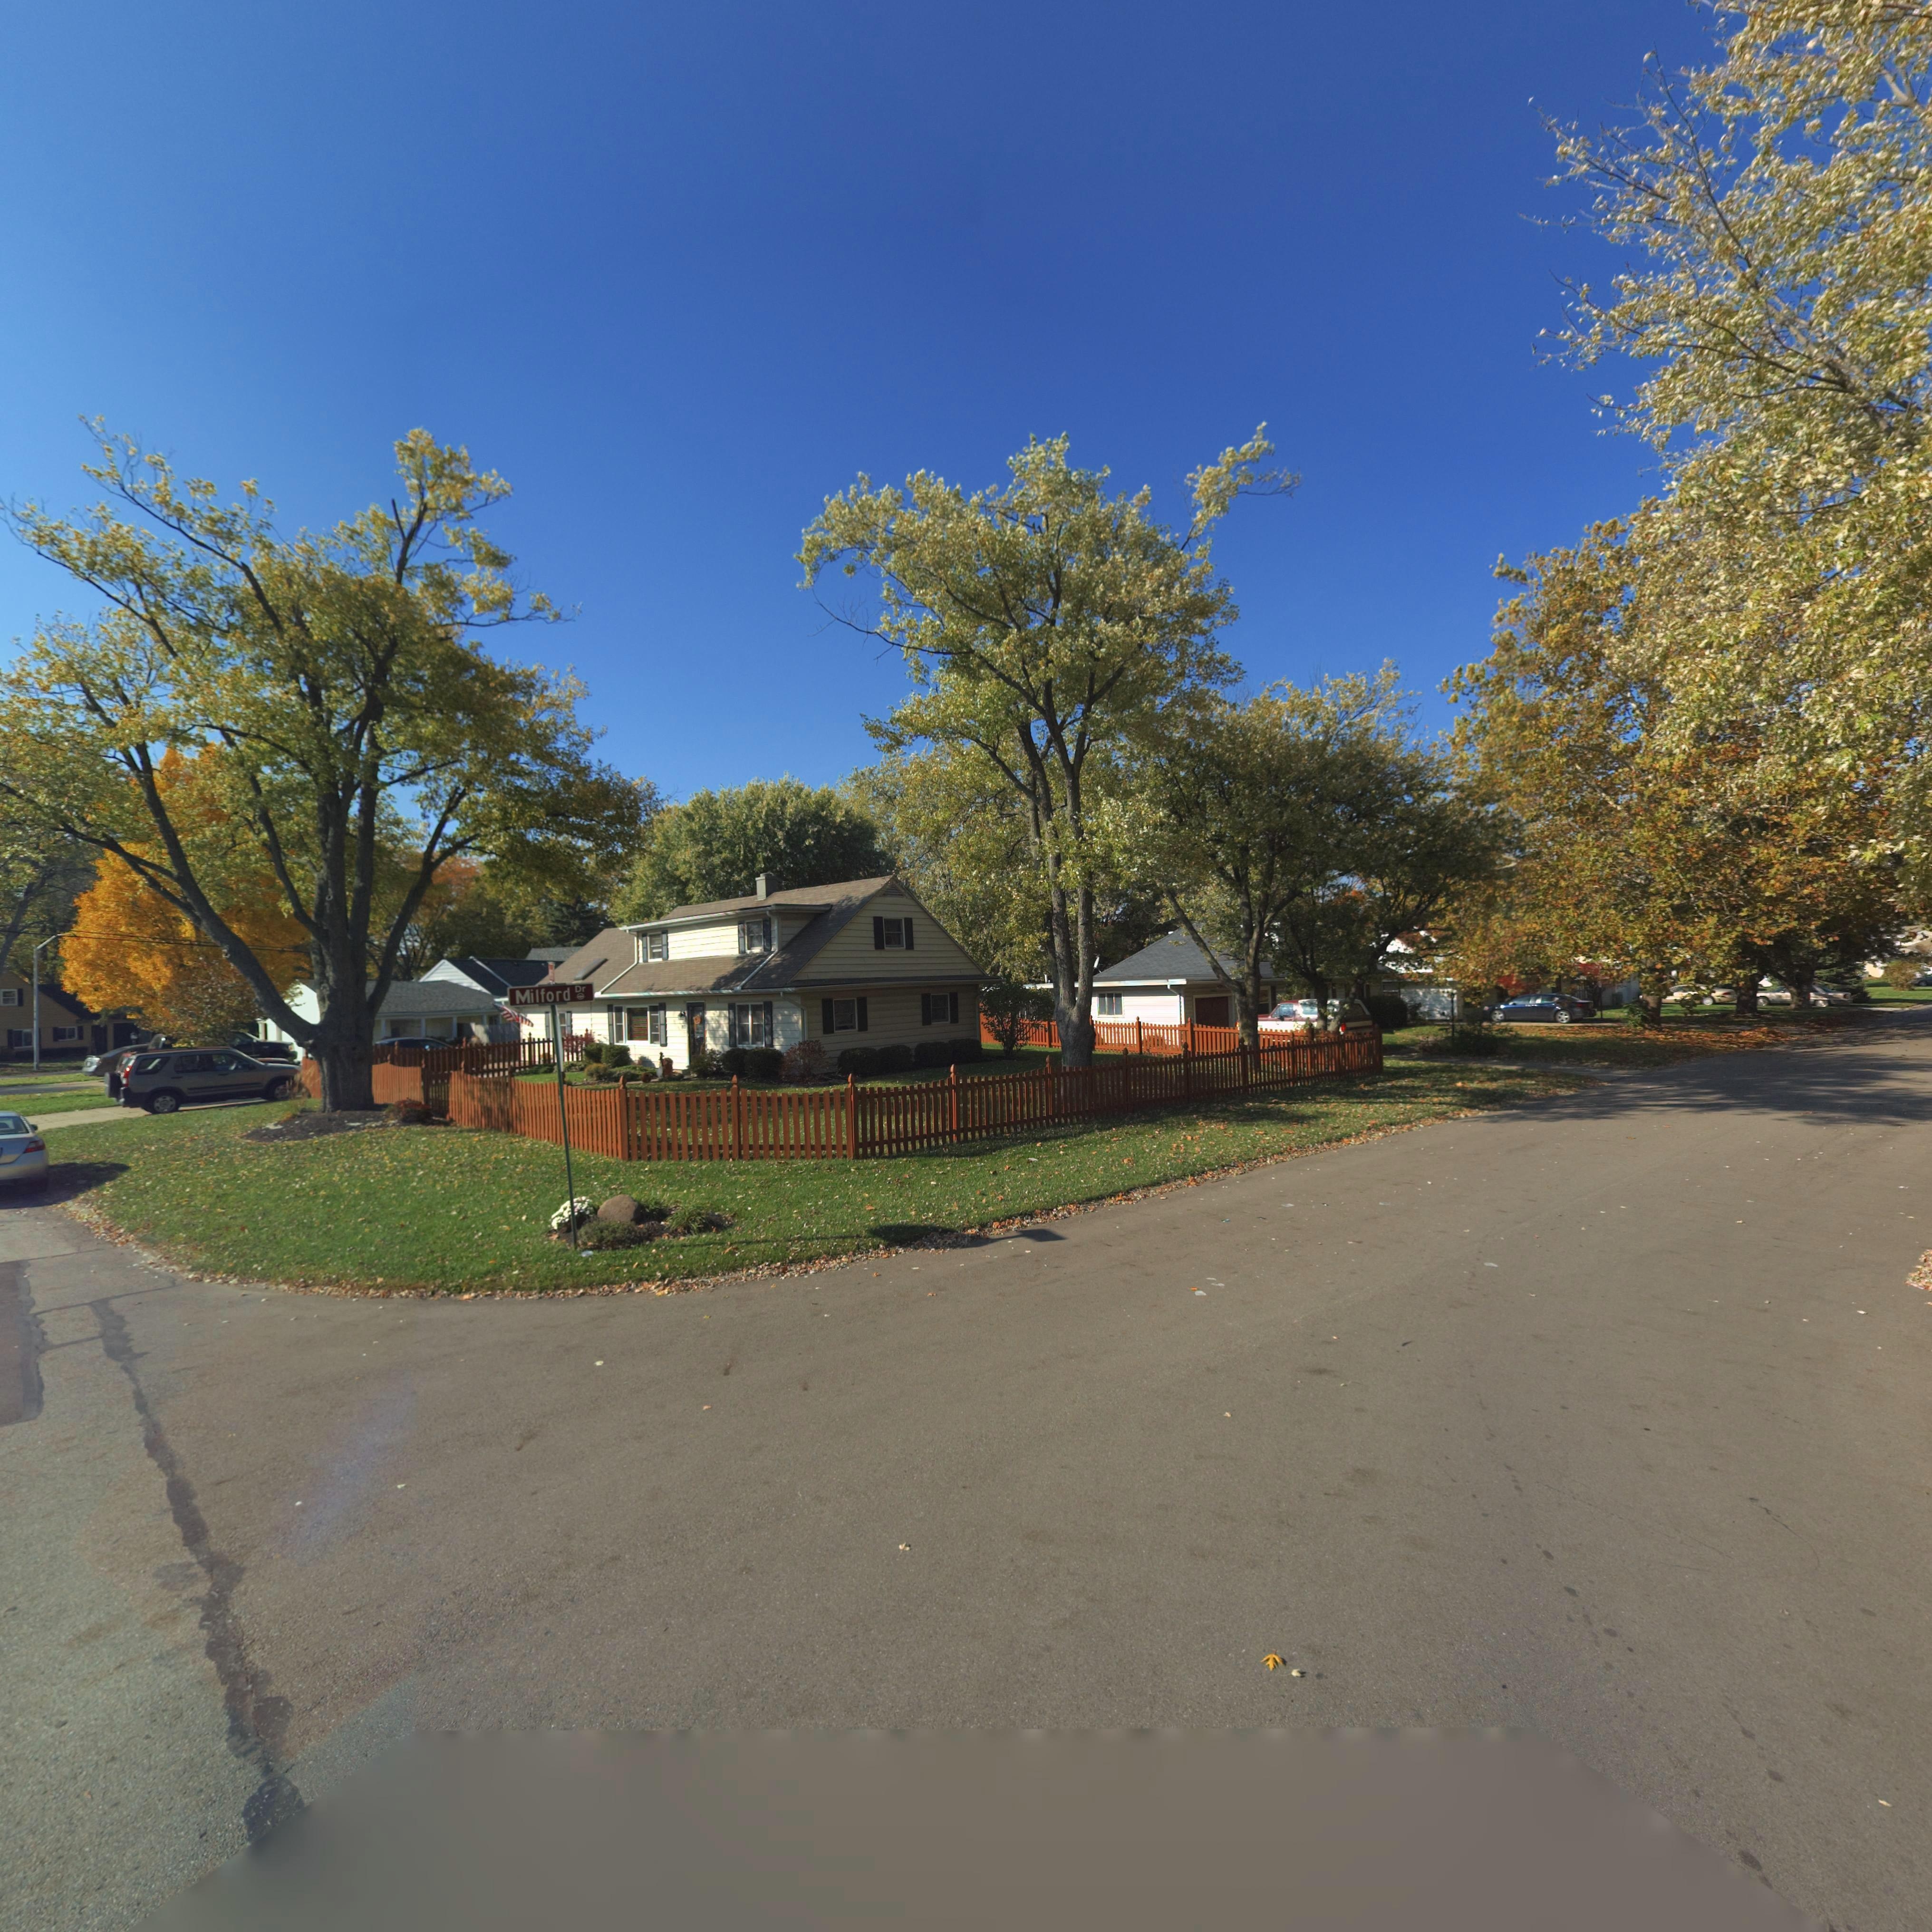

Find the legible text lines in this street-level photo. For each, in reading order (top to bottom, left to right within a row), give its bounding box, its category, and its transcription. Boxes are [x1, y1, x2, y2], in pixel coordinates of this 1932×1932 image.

[513, 983, 588, 1006] StreetName: Milford Dr